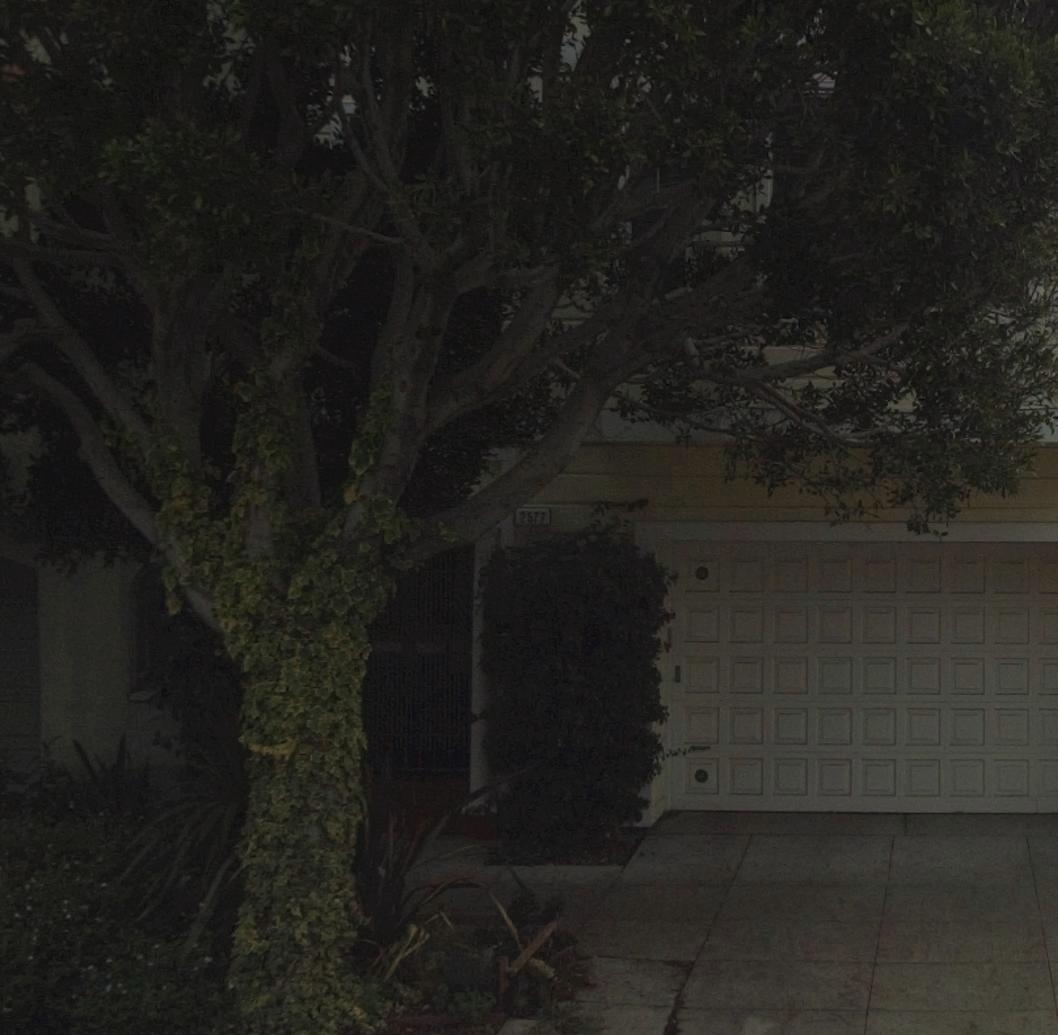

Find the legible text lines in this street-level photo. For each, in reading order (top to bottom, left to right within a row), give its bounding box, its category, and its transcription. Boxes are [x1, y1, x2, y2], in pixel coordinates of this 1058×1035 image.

[518, 511, 547, 524] StreetNumber: 2577